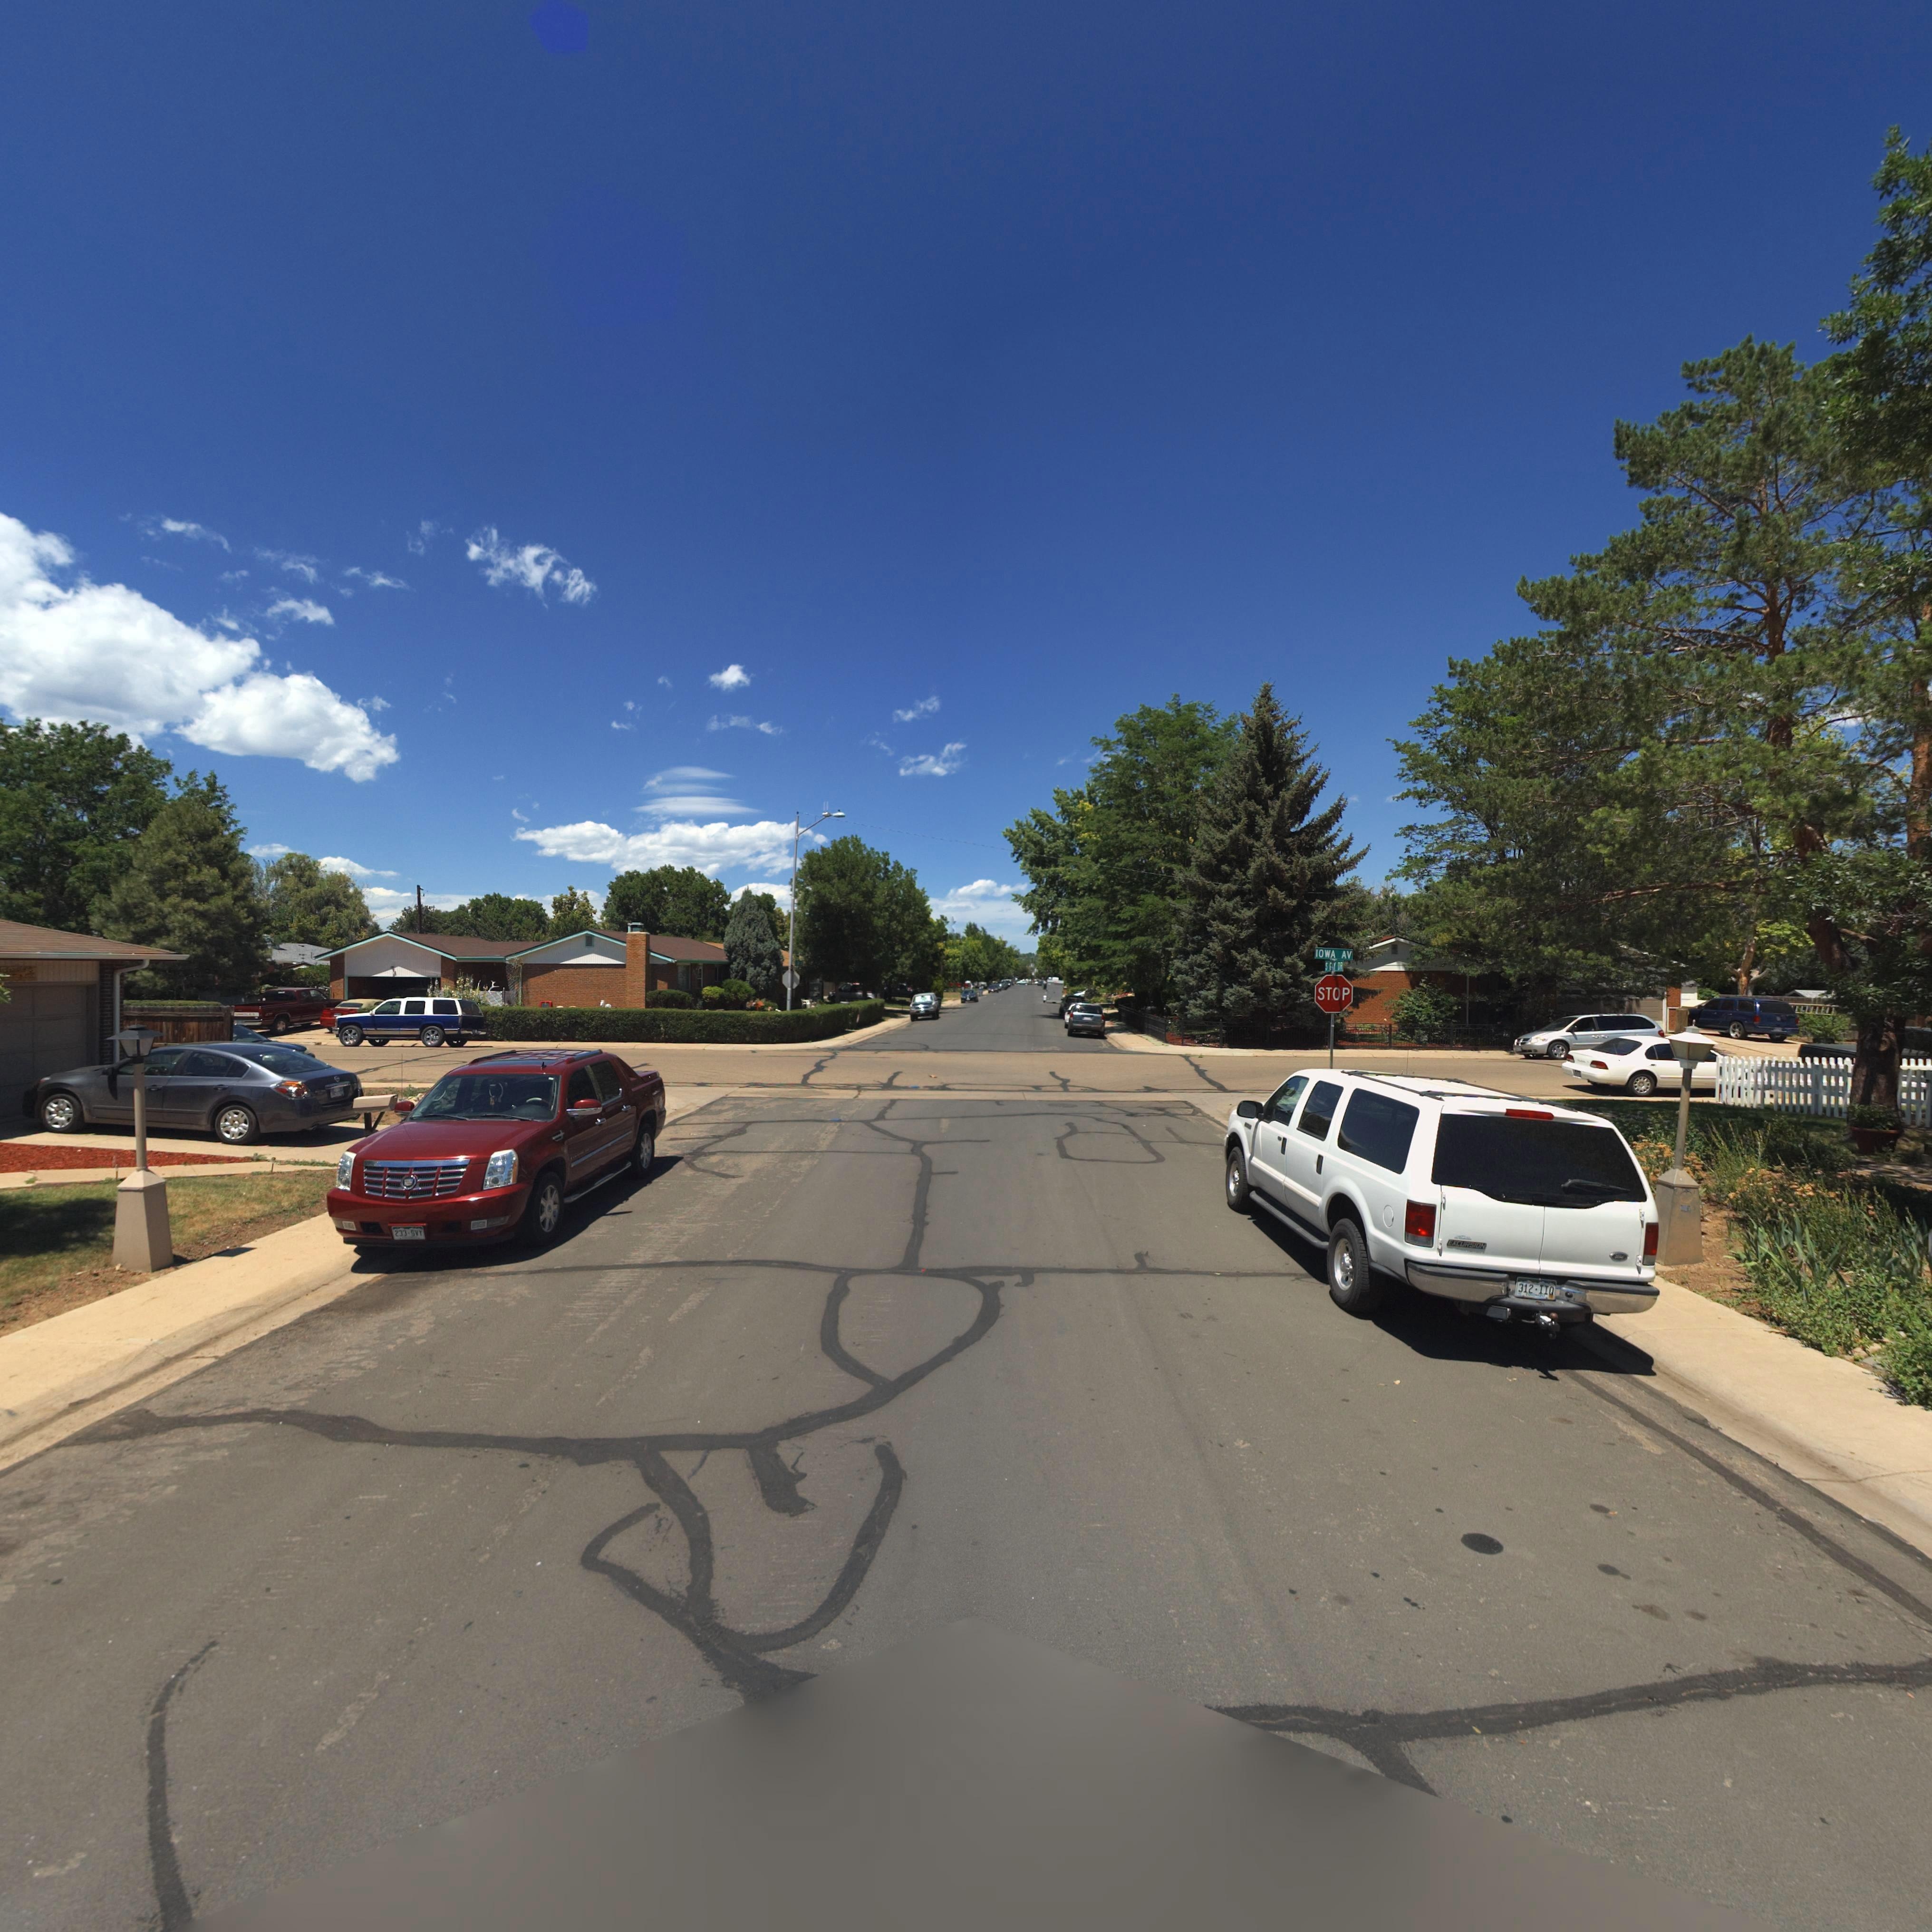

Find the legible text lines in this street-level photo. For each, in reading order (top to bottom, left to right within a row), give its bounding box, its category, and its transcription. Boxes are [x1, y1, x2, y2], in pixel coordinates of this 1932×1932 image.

[1315, 948, 1352, 959] StreetName: IOWA AV
[794, 961, 802, 966] StreetName: * G** *R
[1325, 961, 1343, 970] StreetName: S GAY DR